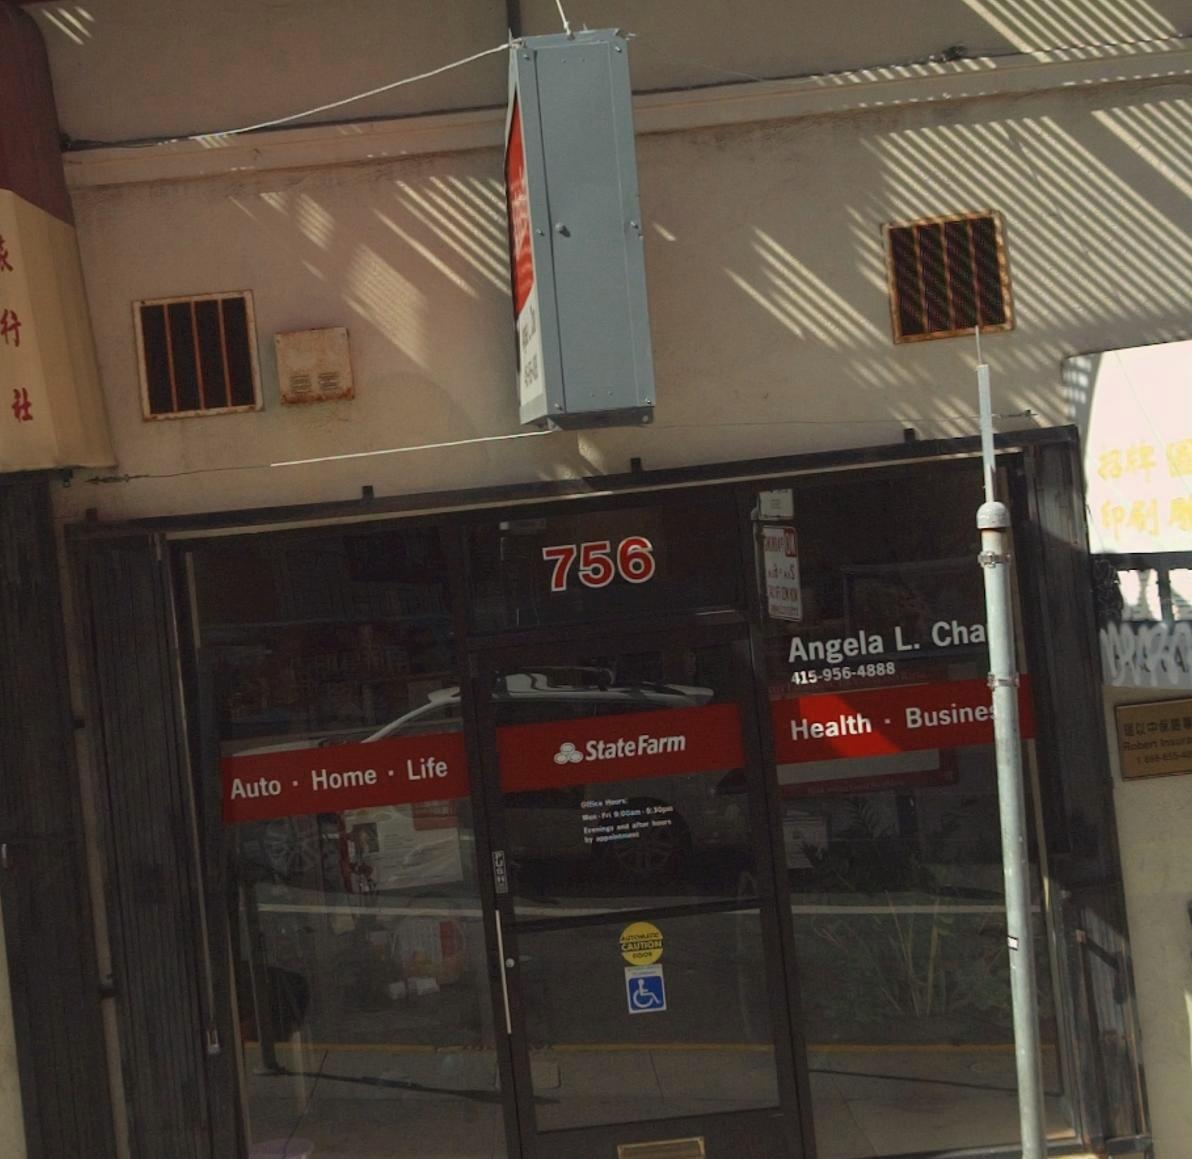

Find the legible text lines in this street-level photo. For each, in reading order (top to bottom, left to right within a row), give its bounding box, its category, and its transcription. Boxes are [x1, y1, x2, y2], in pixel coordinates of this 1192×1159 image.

[540, 532, 659, 596] StreetNumber: 756
[787, 618, 988, 665] None: Angela L. Cha
[788, 659, 896, 687] None: 415-956-4888
[788, 700, 990, 743] None: Health * Busine
[584, 734, 687, 762] BusinessName: StateFarm
[1122, 738, 1159, 753] None: Robert
[229, 754, 450, 802] None: Auto * Home * Life
[579, 796, 627, 810] None: Office Hours
[581, 804, 674, 821] None: Mon*Fri 9:00am-*:30pm
[492, 850, 508, 886] None: PUSH
[619, 938, 663, 953] None: CAUTION
[631, 950, 653, 960] None: DOOR